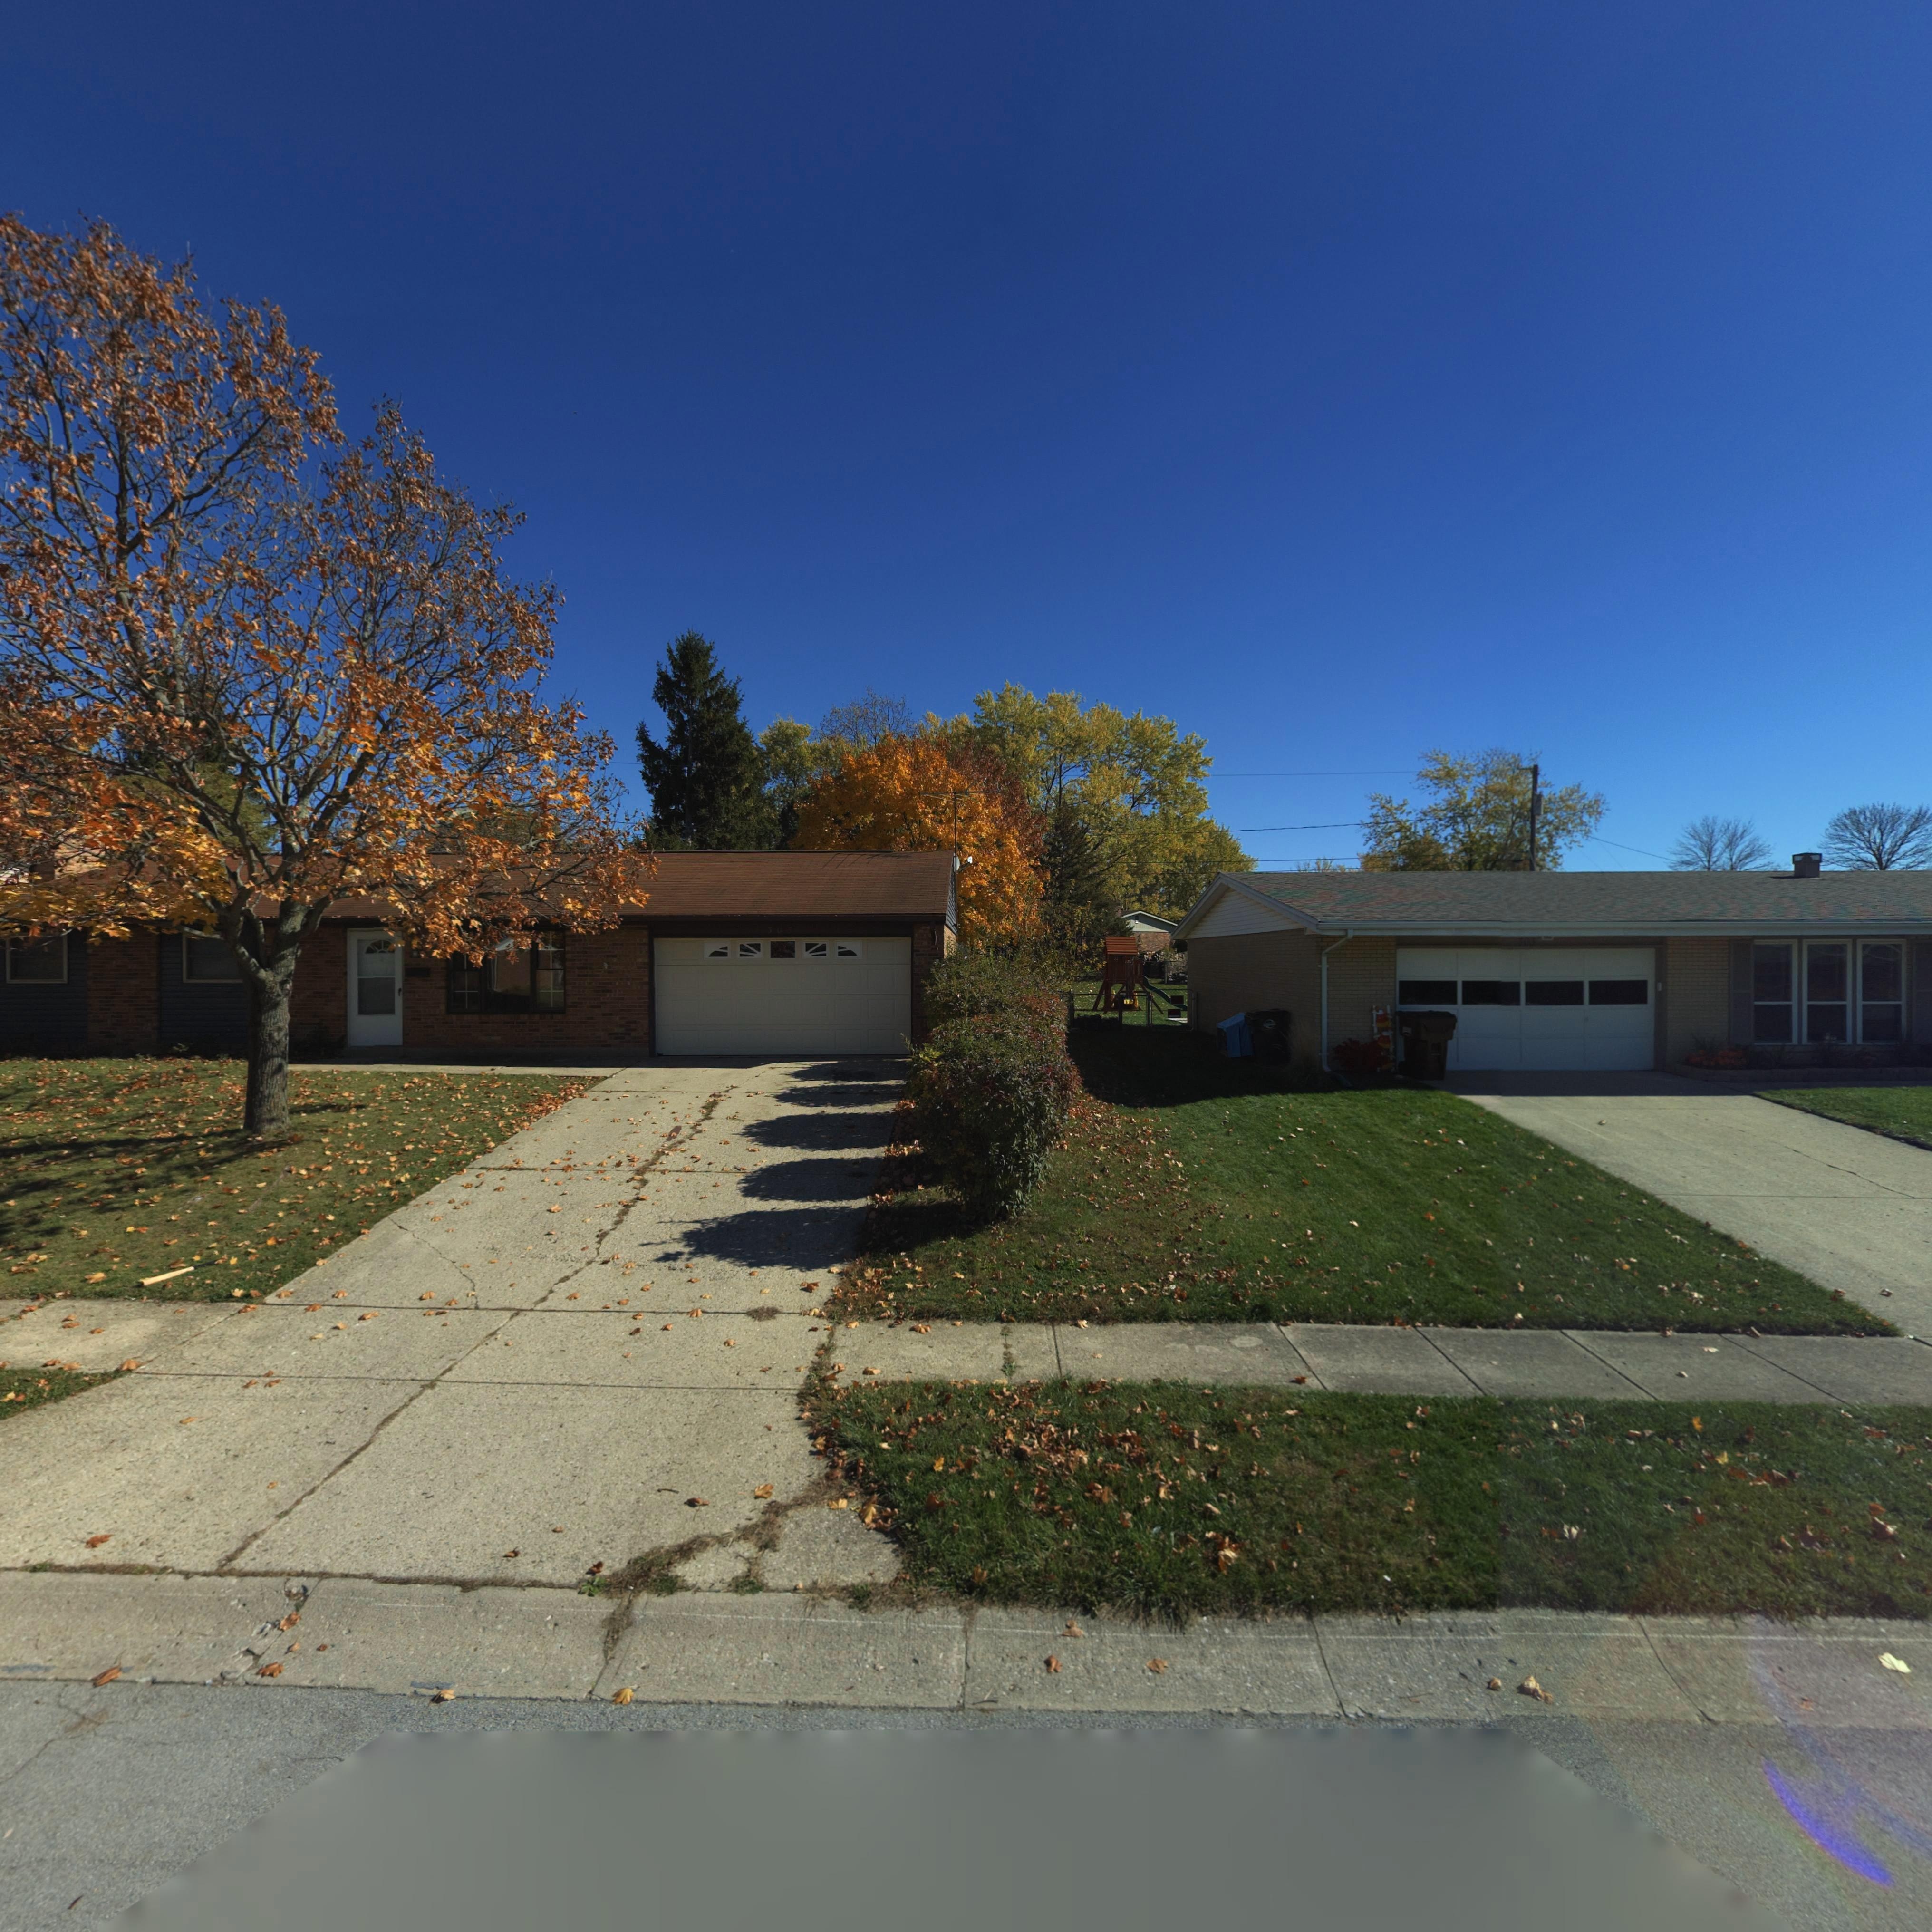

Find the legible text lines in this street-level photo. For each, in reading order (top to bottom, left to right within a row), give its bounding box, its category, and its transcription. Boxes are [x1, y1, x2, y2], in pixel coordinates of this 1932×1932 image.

[767, 926, 793, 934] StreetNumber: 305